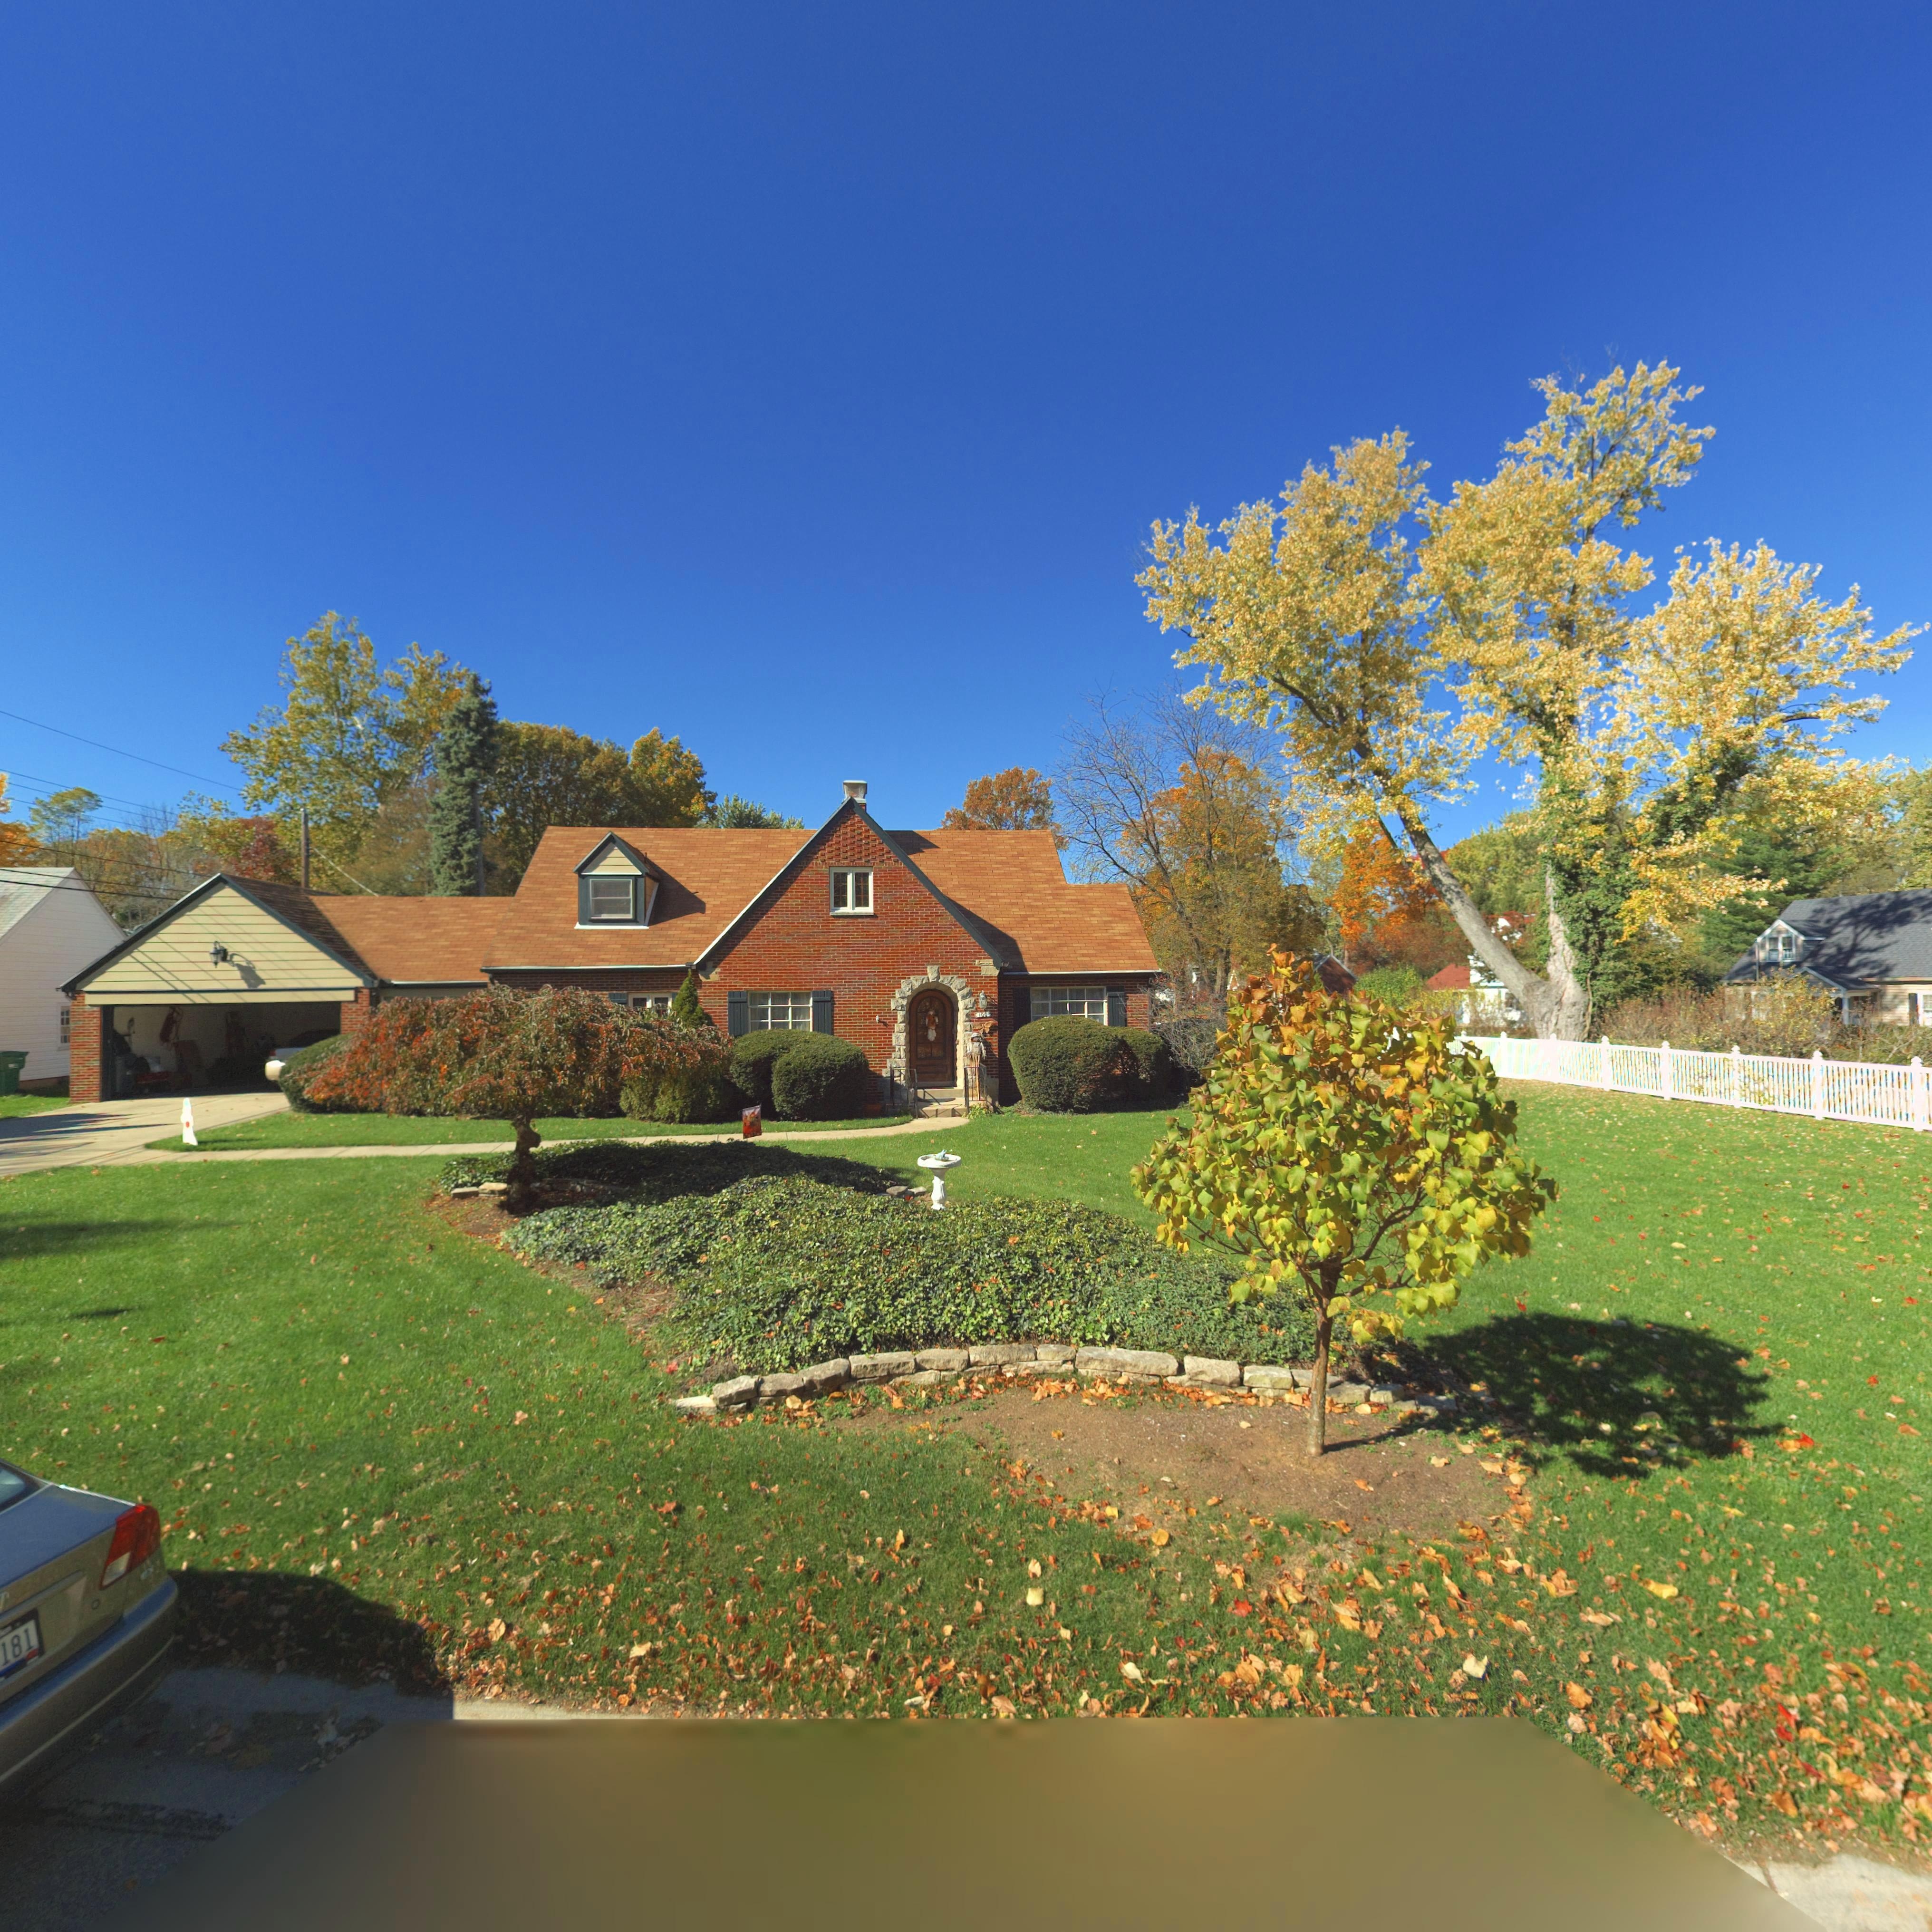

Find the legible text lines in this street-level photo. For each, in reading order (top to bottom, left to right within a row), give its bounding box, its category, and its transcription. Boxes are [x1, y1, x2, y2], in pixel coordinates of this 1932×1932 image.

[978, 1012, 988, 1018] StreetNumber: 100